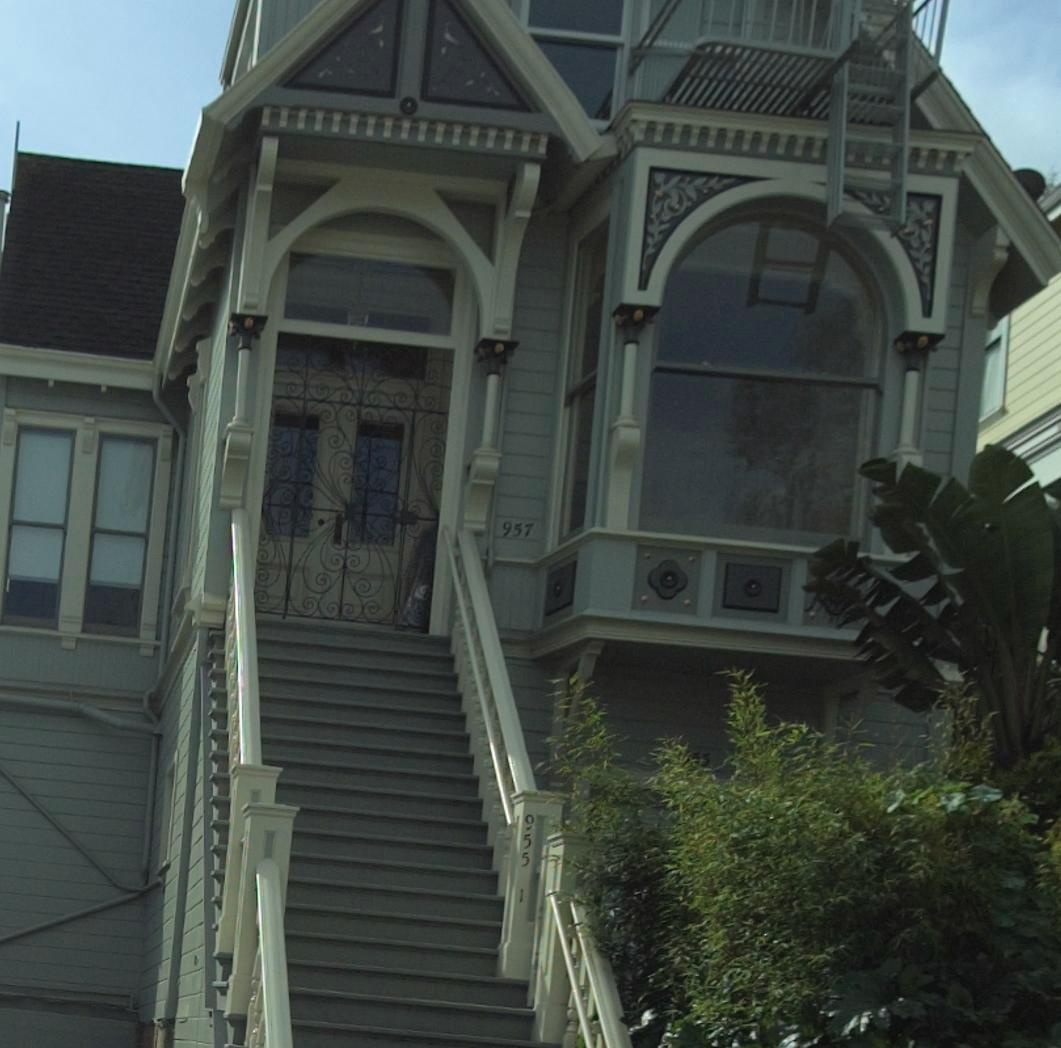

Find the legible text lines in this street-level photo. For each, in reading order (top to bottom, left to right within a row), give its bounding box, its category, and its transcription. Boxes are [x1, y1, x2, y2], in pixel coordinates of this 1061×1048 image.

[497, 518, 538, 541] StreetNumber: 957